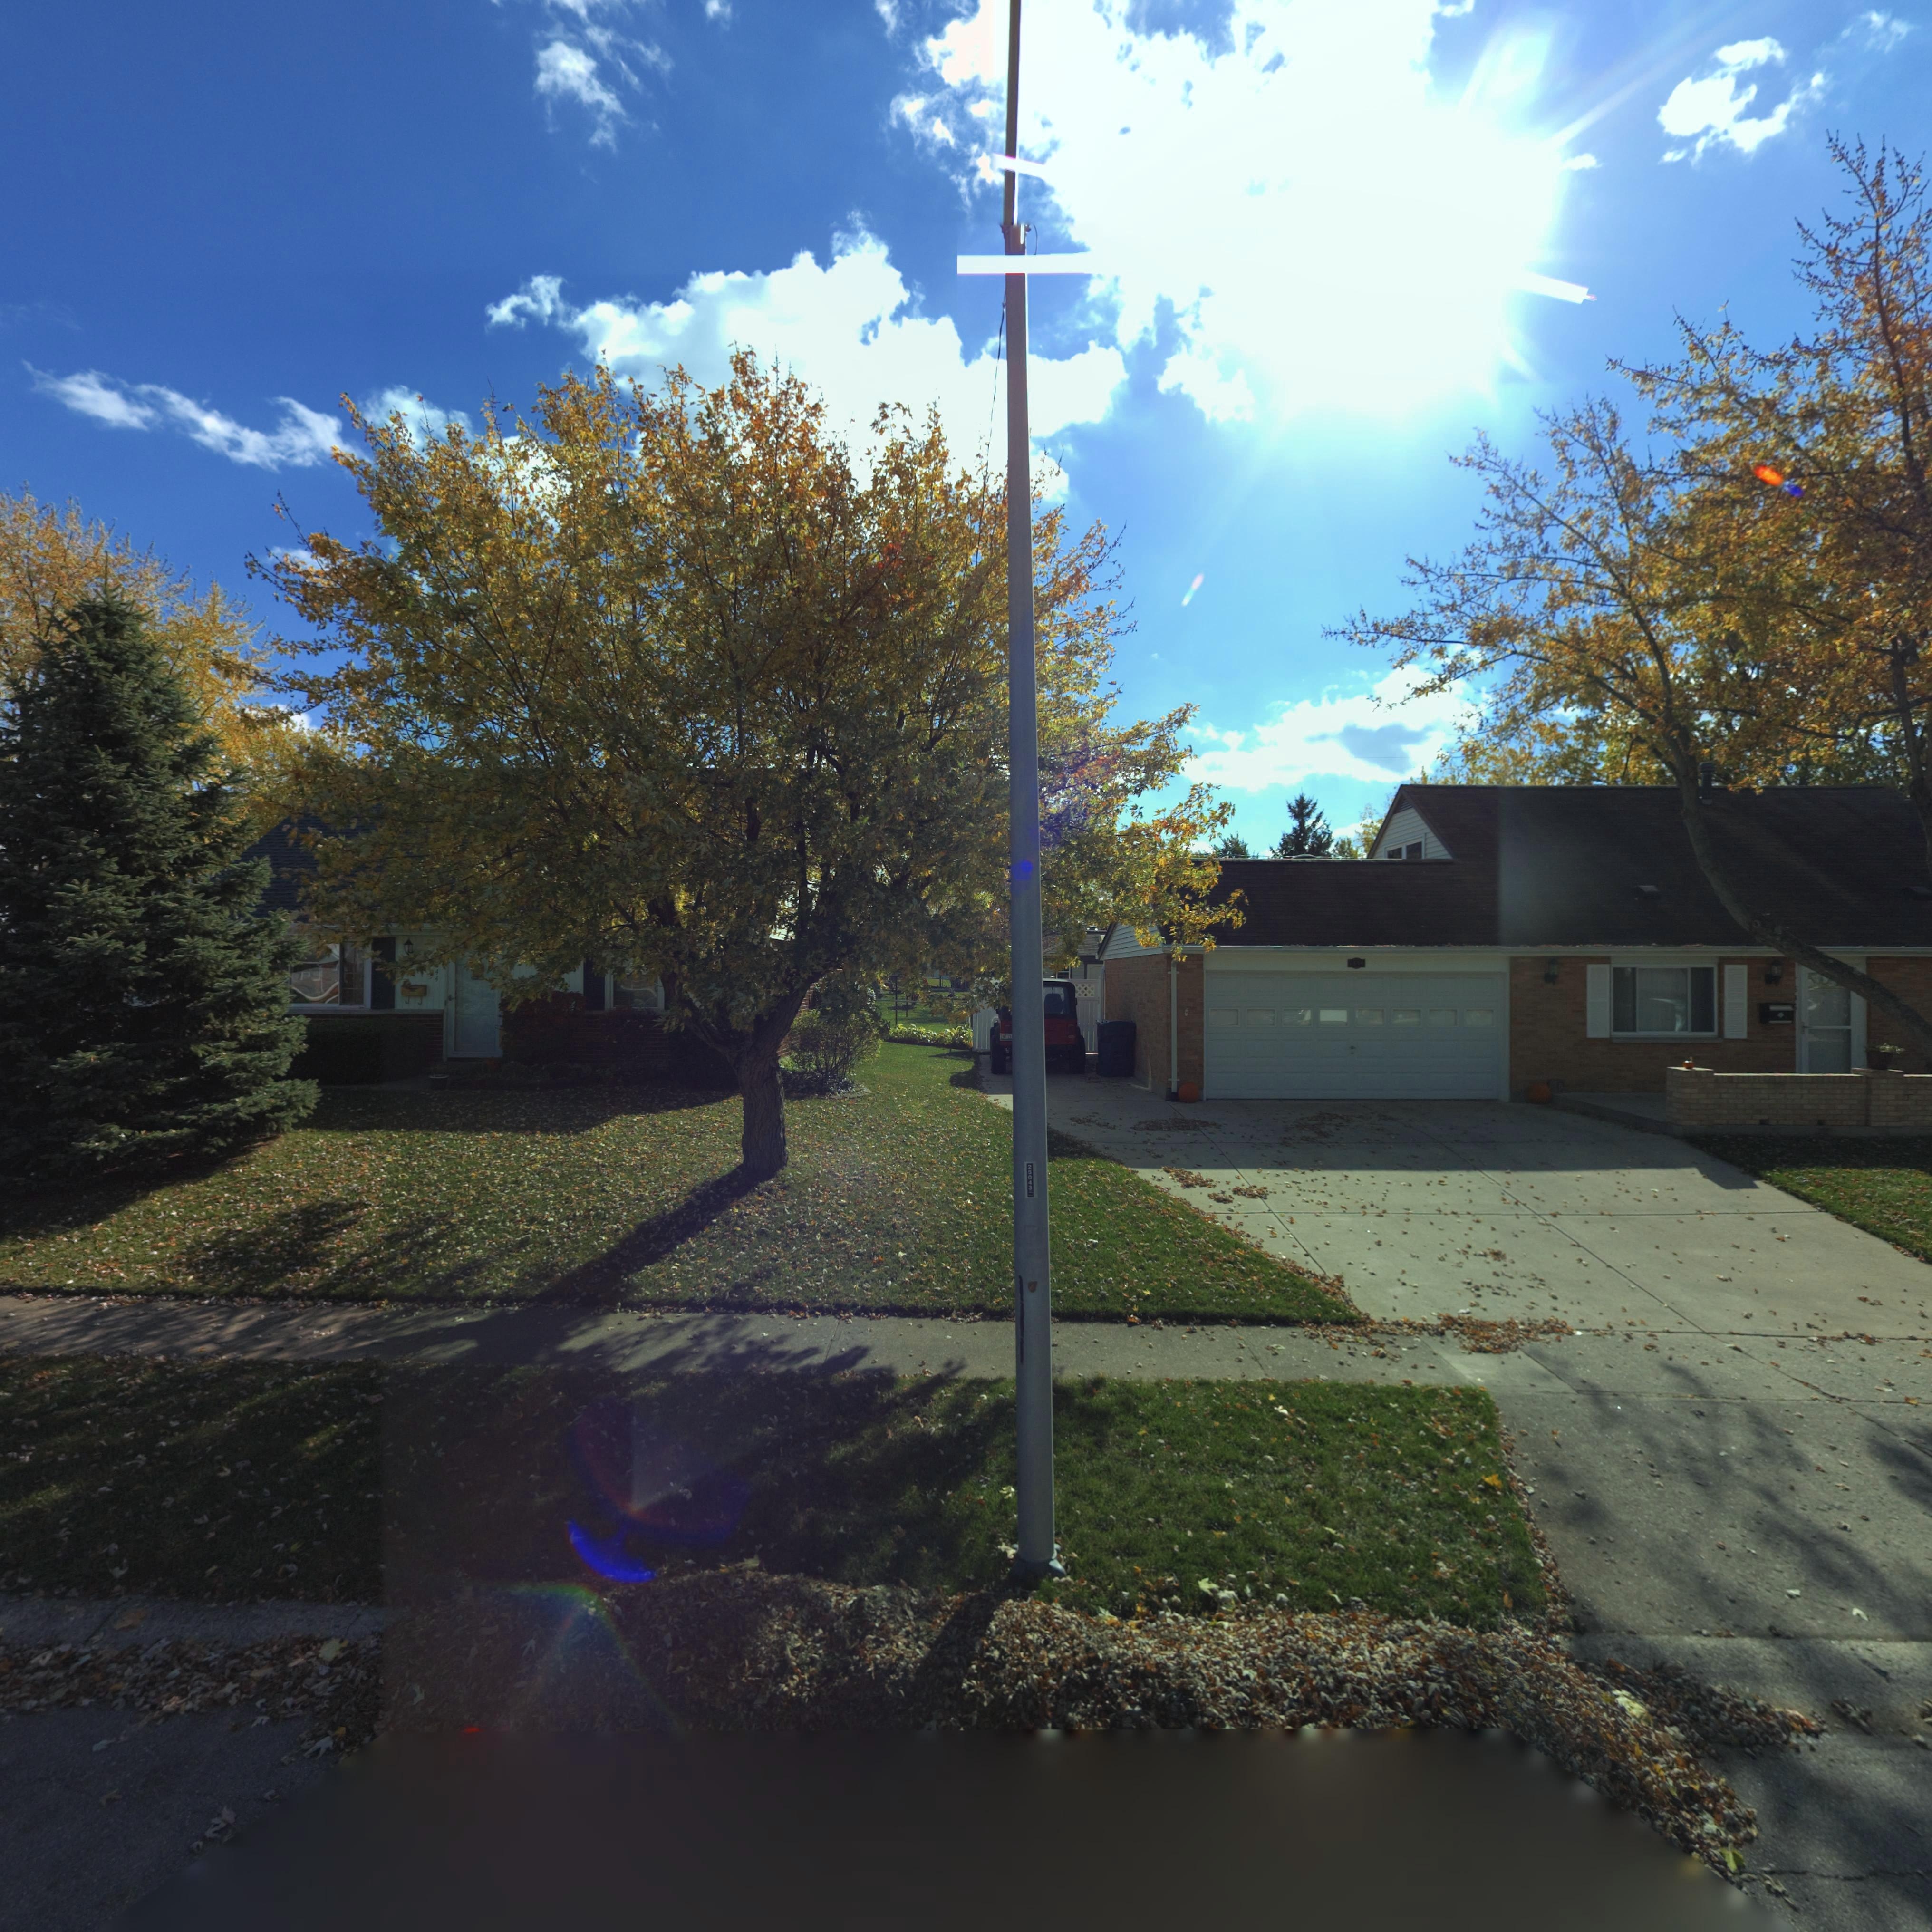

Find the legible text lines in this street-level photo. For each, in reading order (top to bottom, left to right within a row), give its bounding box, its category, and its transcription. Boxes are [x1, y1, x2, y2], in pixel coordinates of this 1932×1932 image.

[1348, 959, 1364, 967] StreetNumber: 7***
[435, 969, 439, 982] StreetNumber: 44